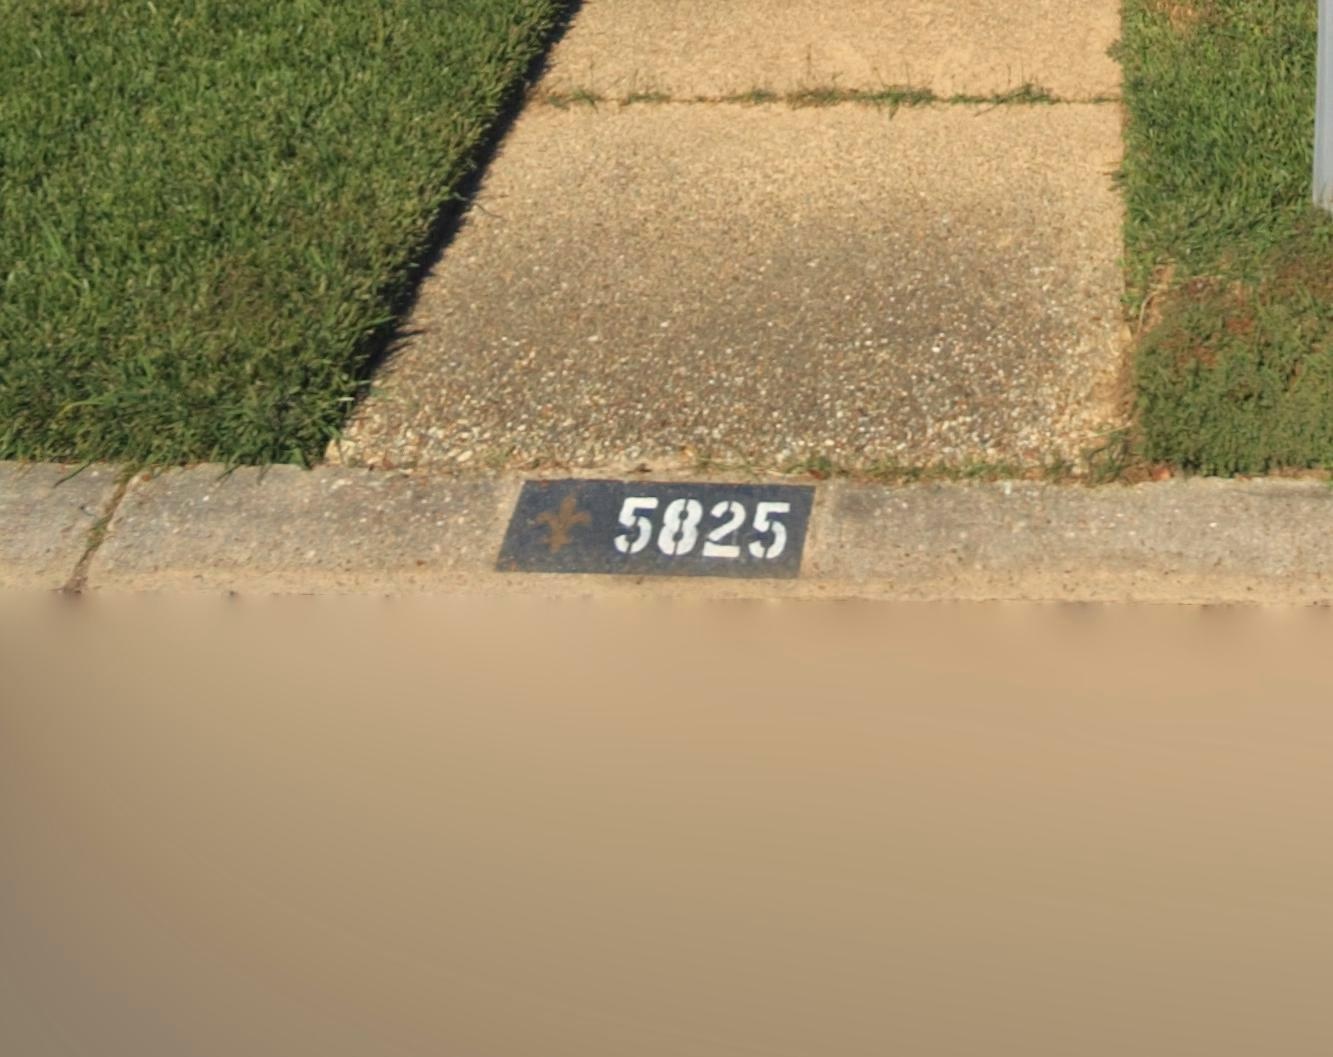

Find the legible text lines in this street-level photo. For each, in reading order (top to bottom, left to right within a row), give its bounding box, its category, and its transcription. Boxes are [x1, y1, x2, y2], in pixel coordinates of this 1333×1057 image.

[604, 494, 797, 561] StreetNumber: 5825